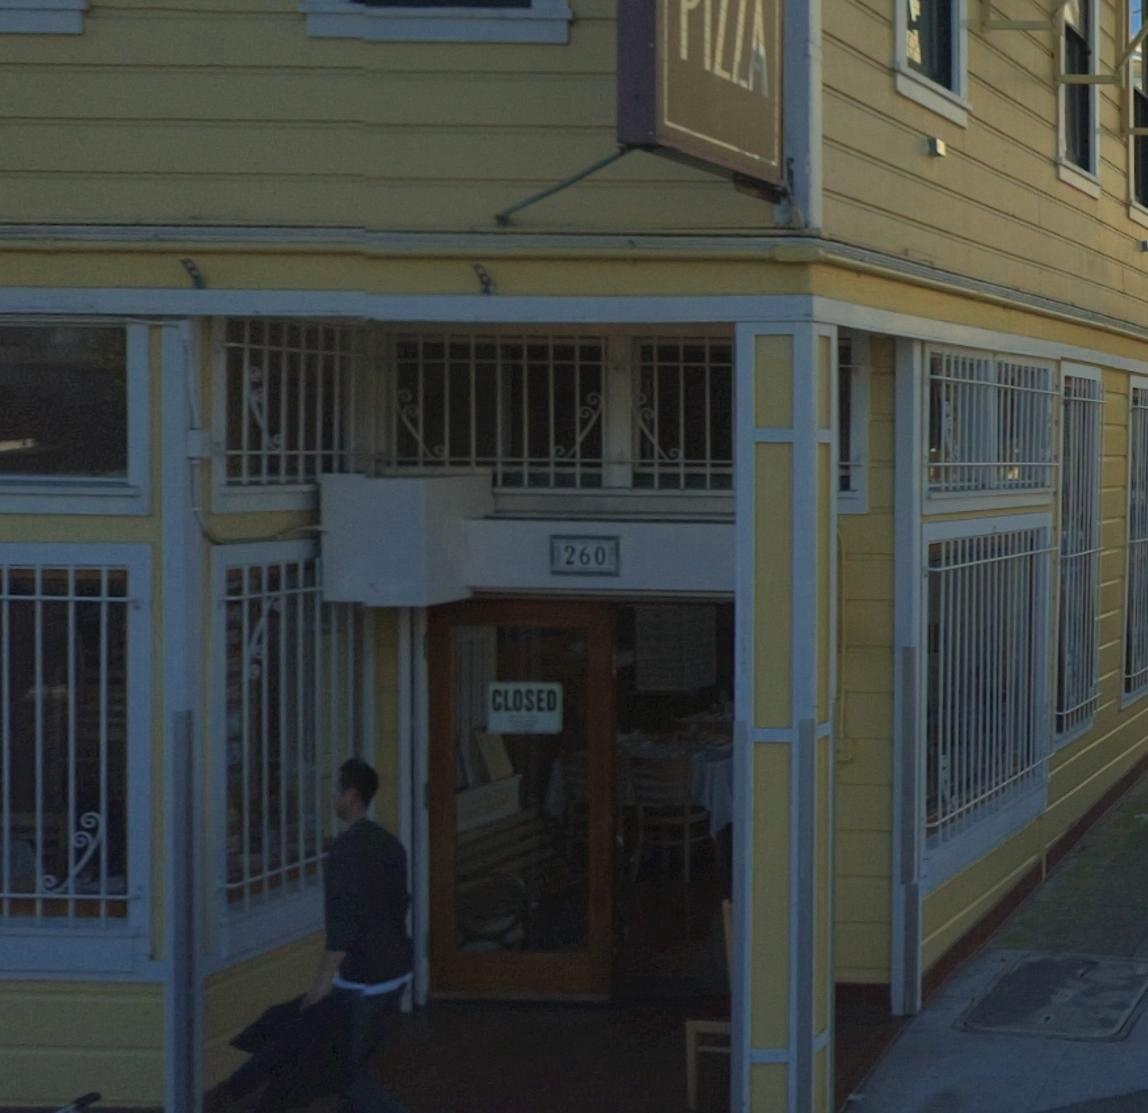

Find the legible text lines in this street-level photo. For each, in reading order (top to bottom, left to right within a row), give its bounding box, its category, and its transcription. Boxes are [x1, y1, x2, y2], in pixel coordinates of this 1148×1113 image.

[563, 543, 608, 567] StreetNumber: 260
[489, 686, 559, 714] None: CLOSED